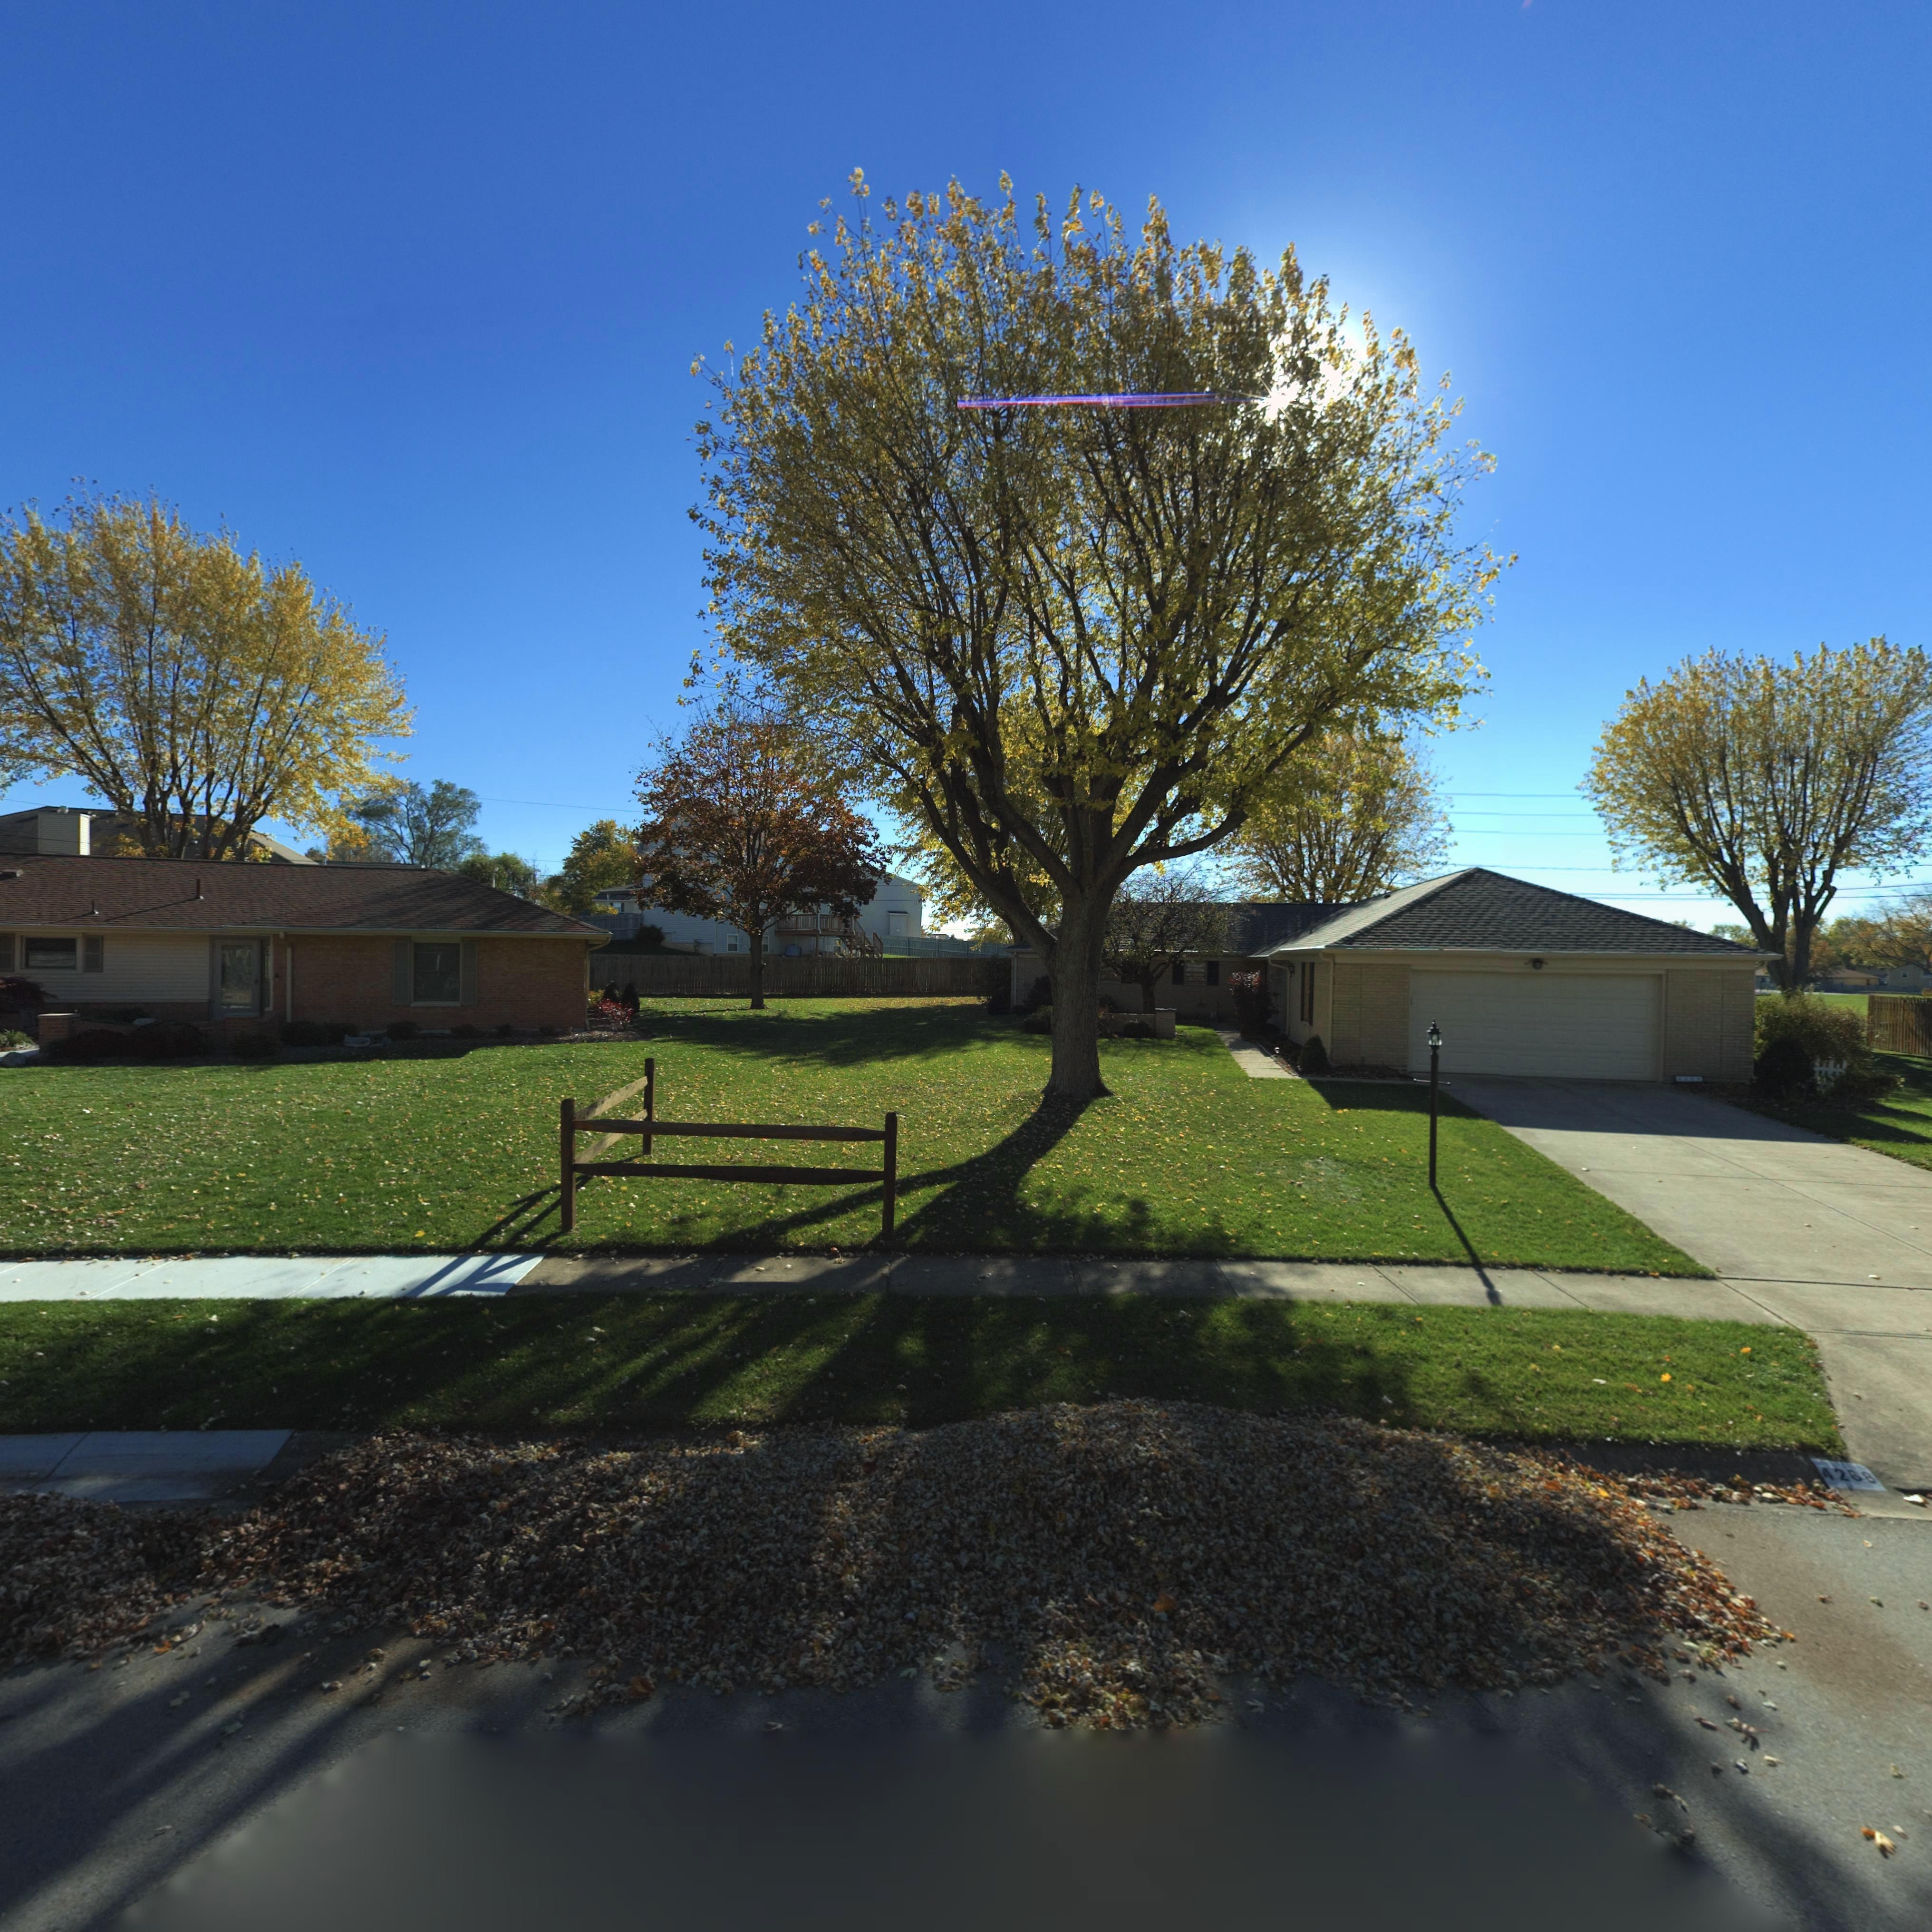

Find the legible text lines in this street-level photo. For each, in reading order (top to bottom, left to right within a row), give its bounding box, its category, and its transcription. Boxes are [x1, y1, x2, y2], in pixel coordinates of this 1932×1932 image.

[1820, 1466, 1880, 1486] StreetNumber: 4268